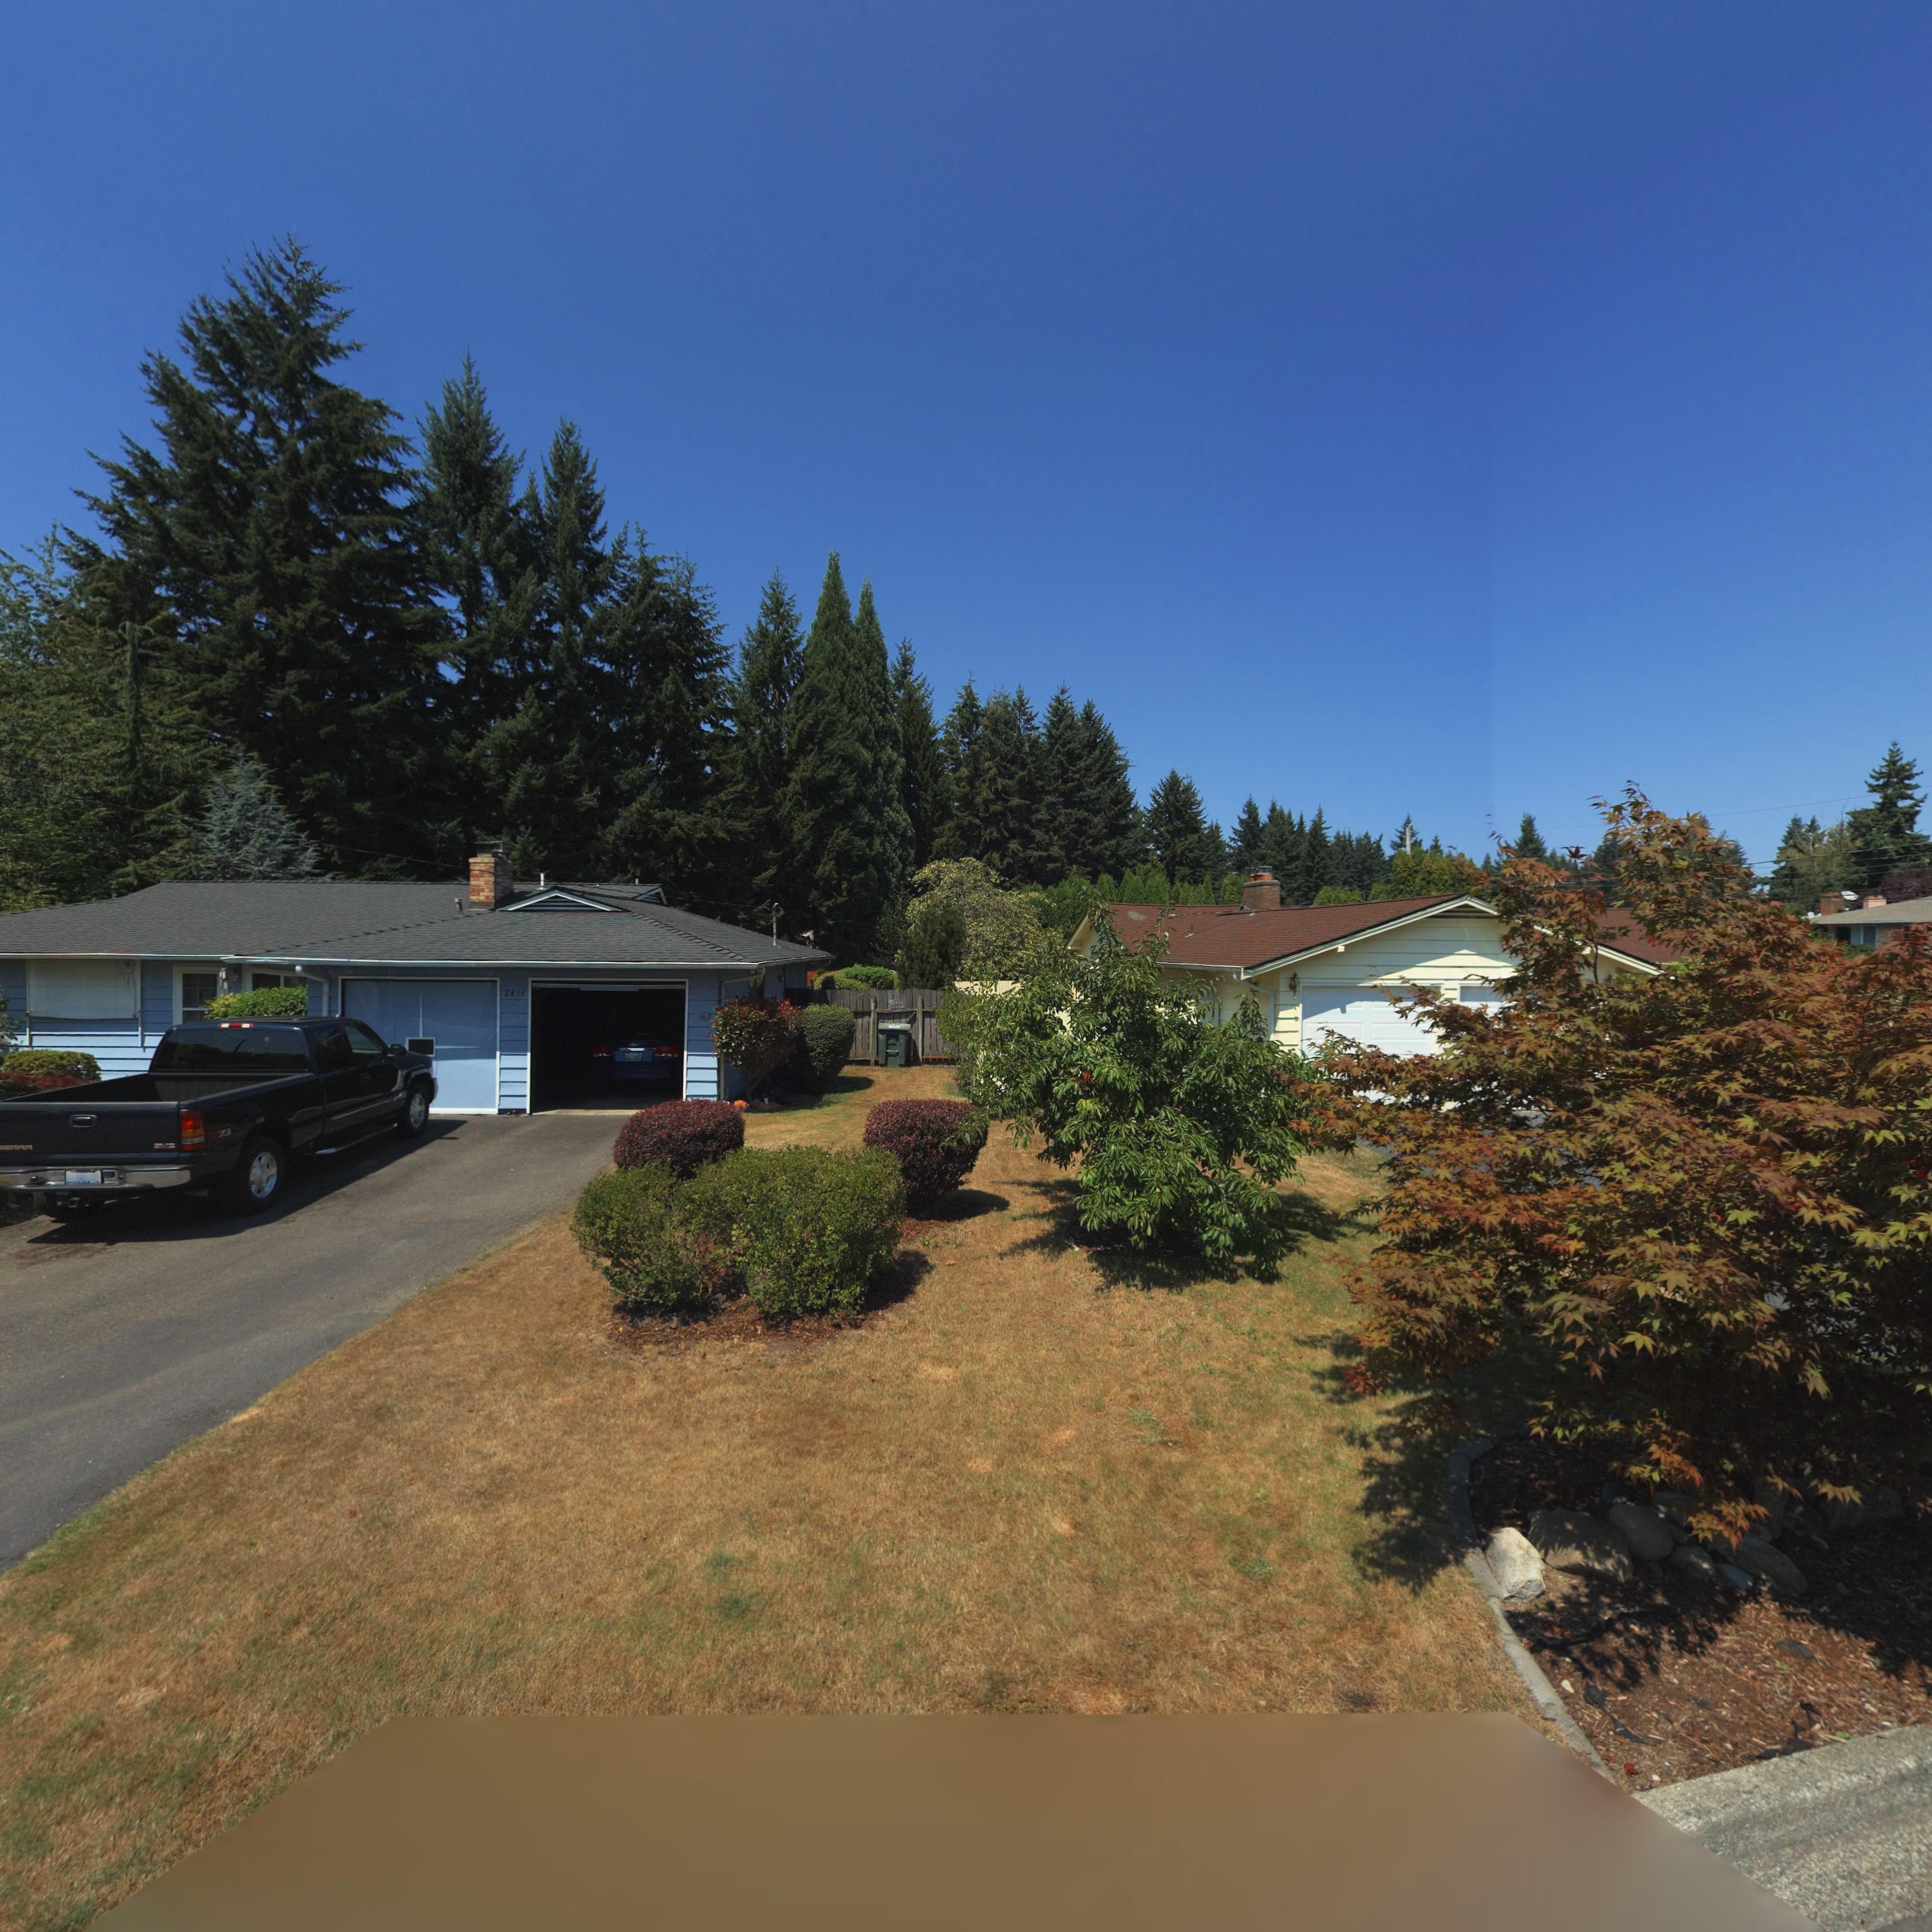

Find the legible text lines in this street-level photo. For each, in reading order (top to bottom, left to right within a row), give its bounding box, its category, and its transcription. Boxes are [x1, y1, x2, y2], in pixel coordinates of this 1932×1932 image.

[503, 988, 525, 997] StreetNumber: 2411